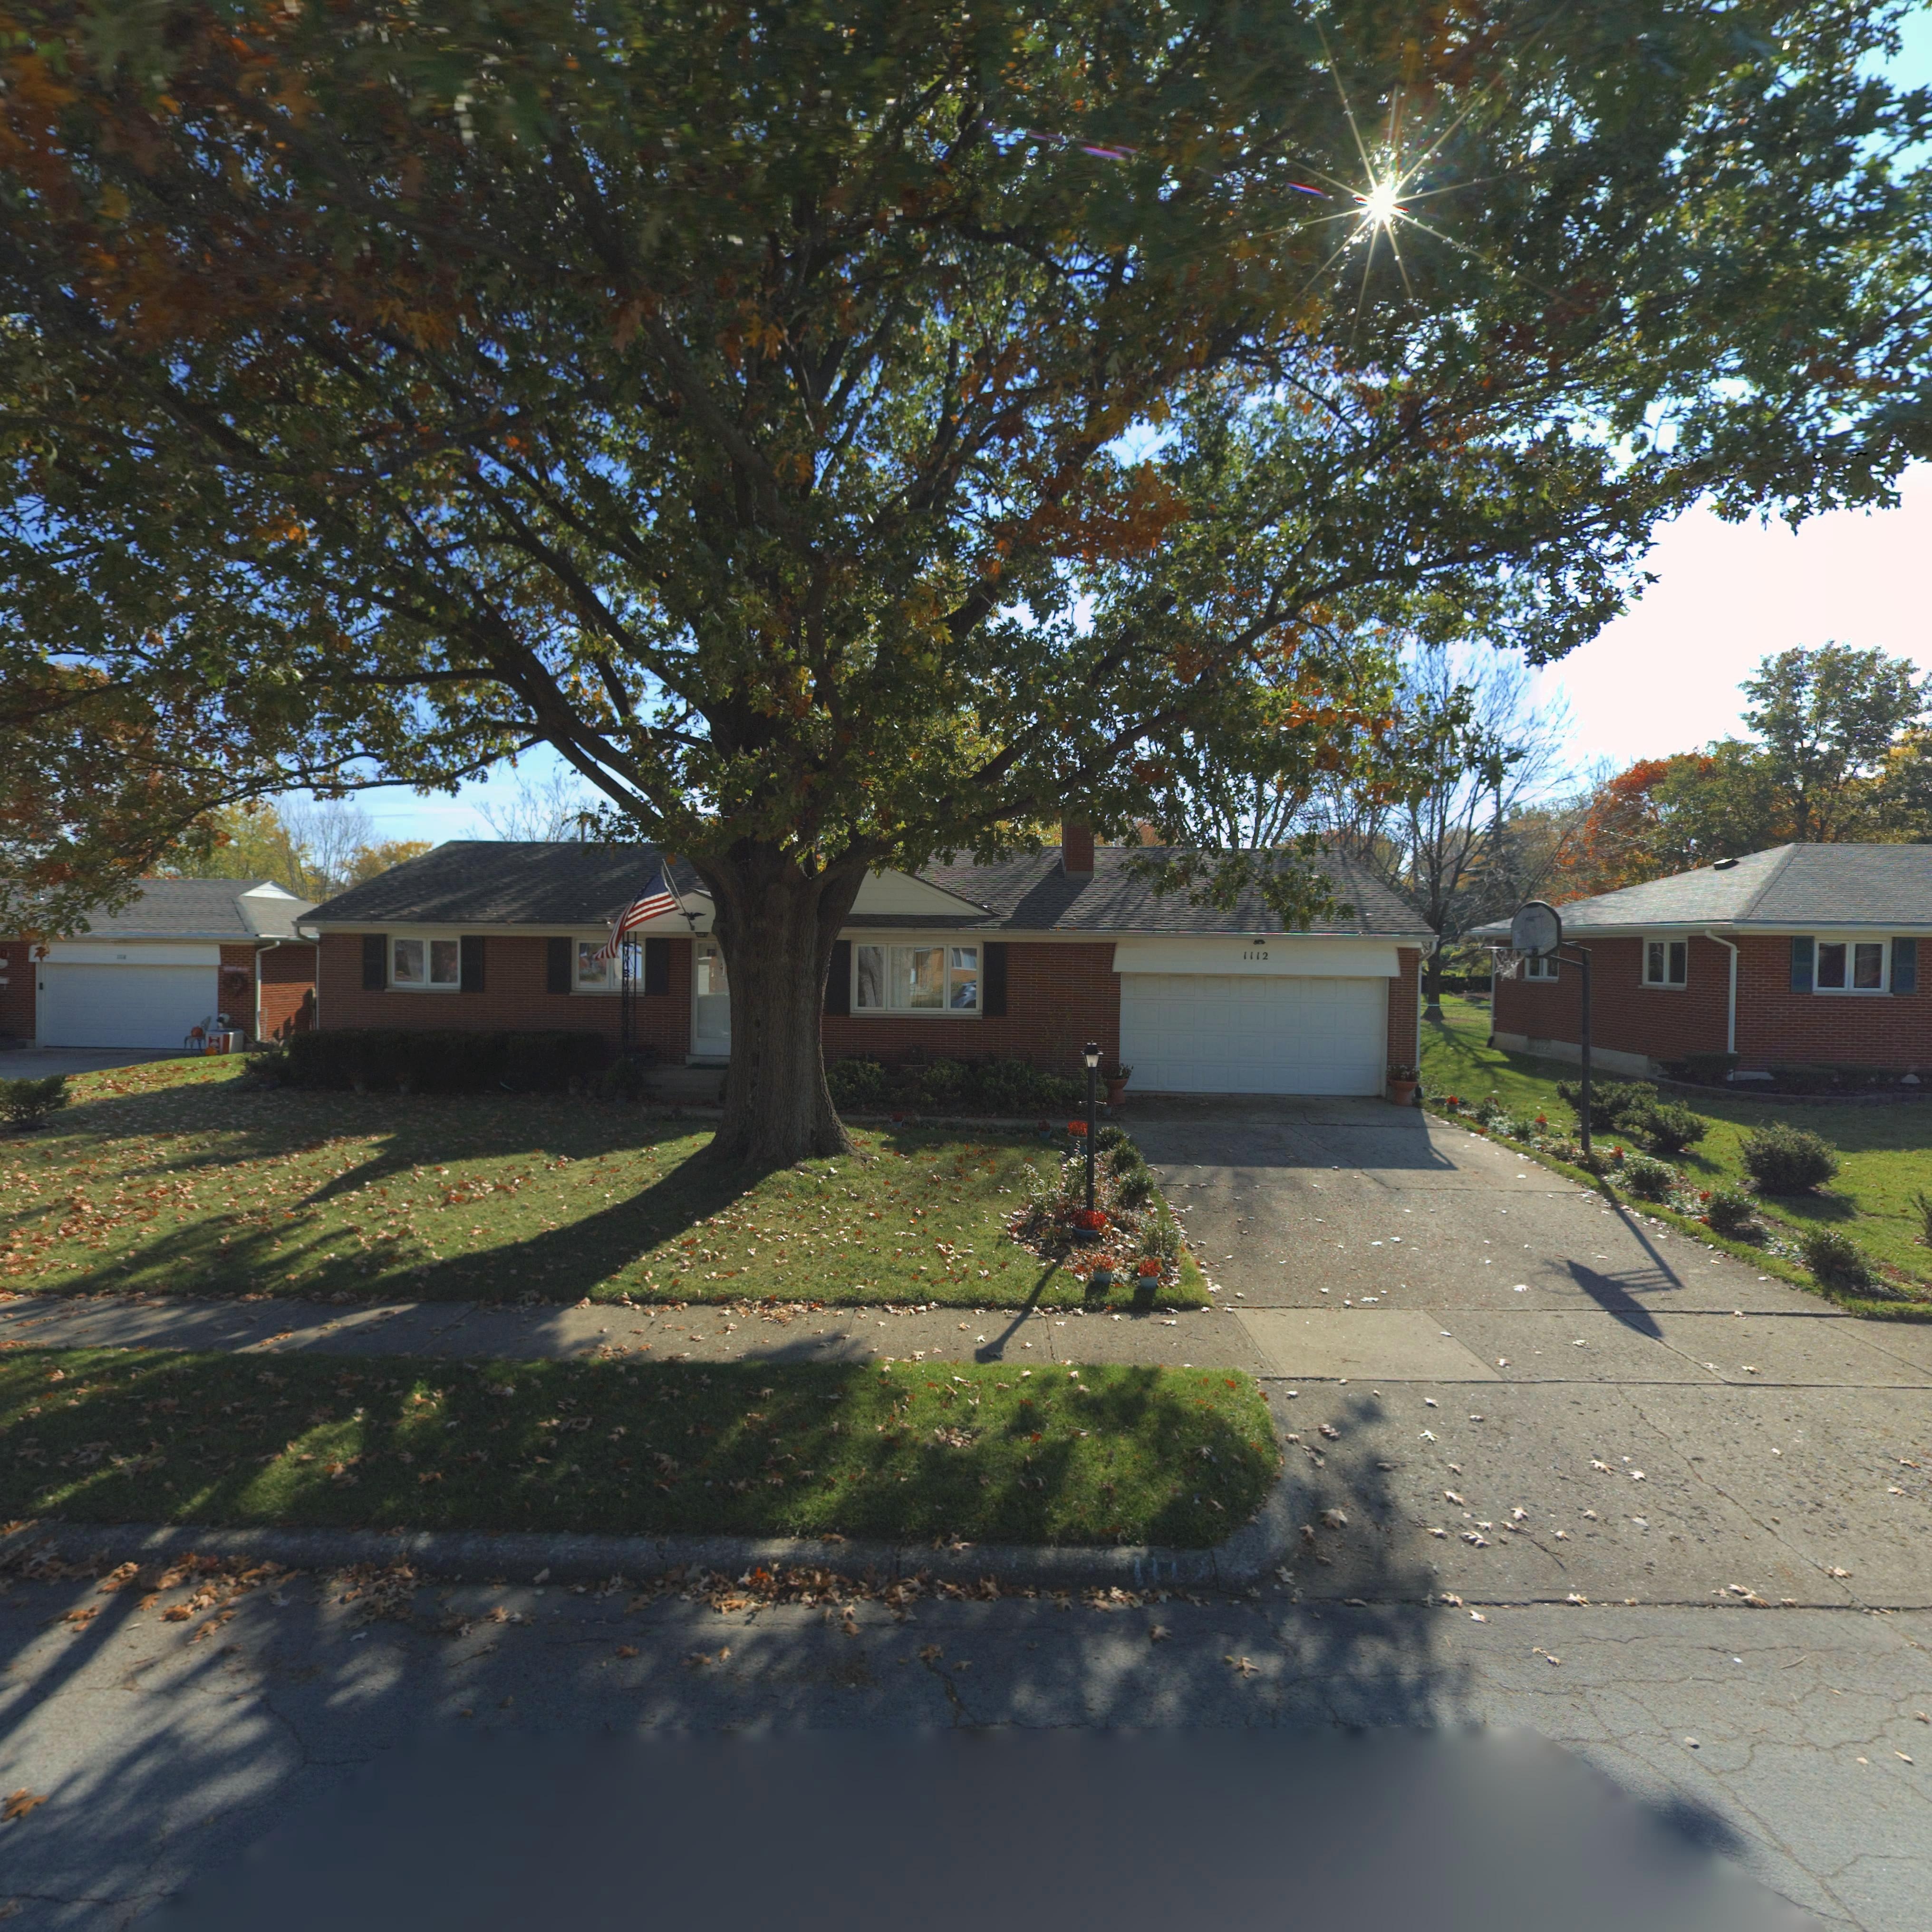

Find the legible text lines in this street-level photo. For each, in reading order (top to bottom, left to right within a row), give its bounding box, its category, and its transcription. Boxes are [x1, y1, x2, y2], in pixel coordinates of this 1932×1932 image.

[116, 954, 126, 959] StreetNumber: 1118
[1243, 951, 1268, 961] StreetNumber: 1112